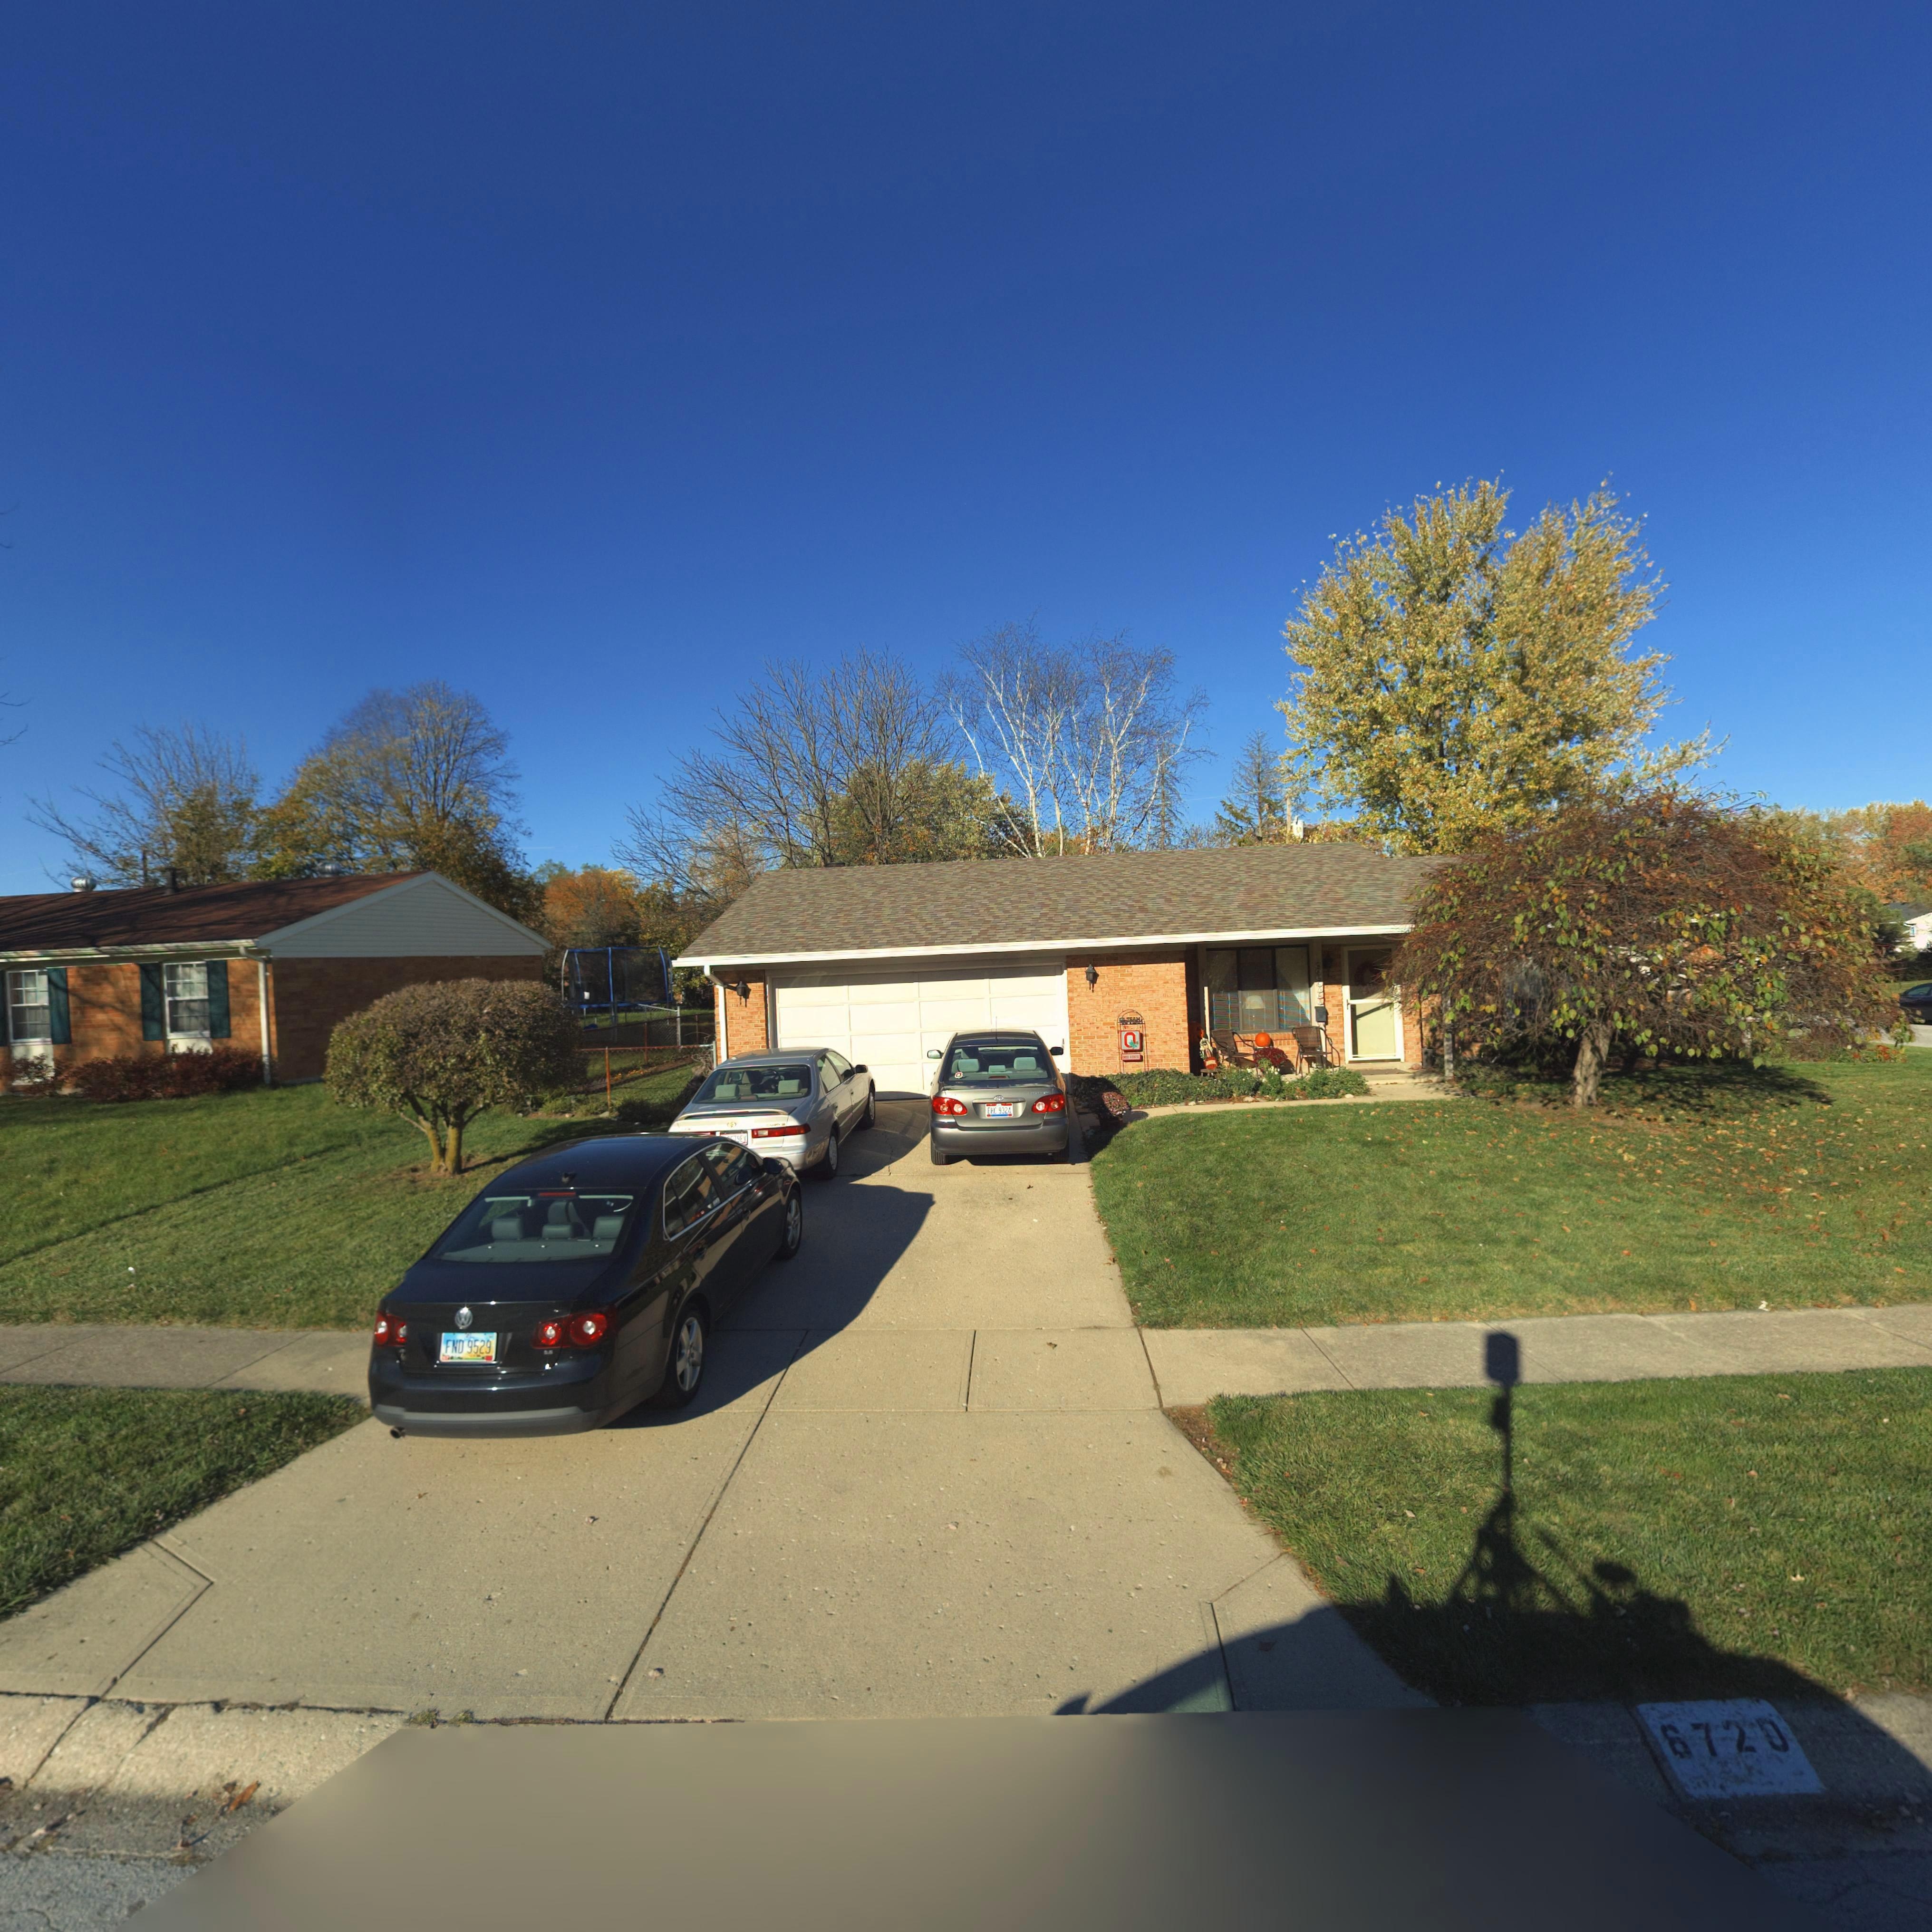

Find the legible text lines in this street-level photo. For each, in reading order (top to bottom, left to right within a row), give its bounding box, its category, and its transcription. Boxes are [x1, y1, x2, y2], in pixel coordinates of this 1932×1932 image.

[1659, 1716, 1792, 1760] StreetNumber: 6720